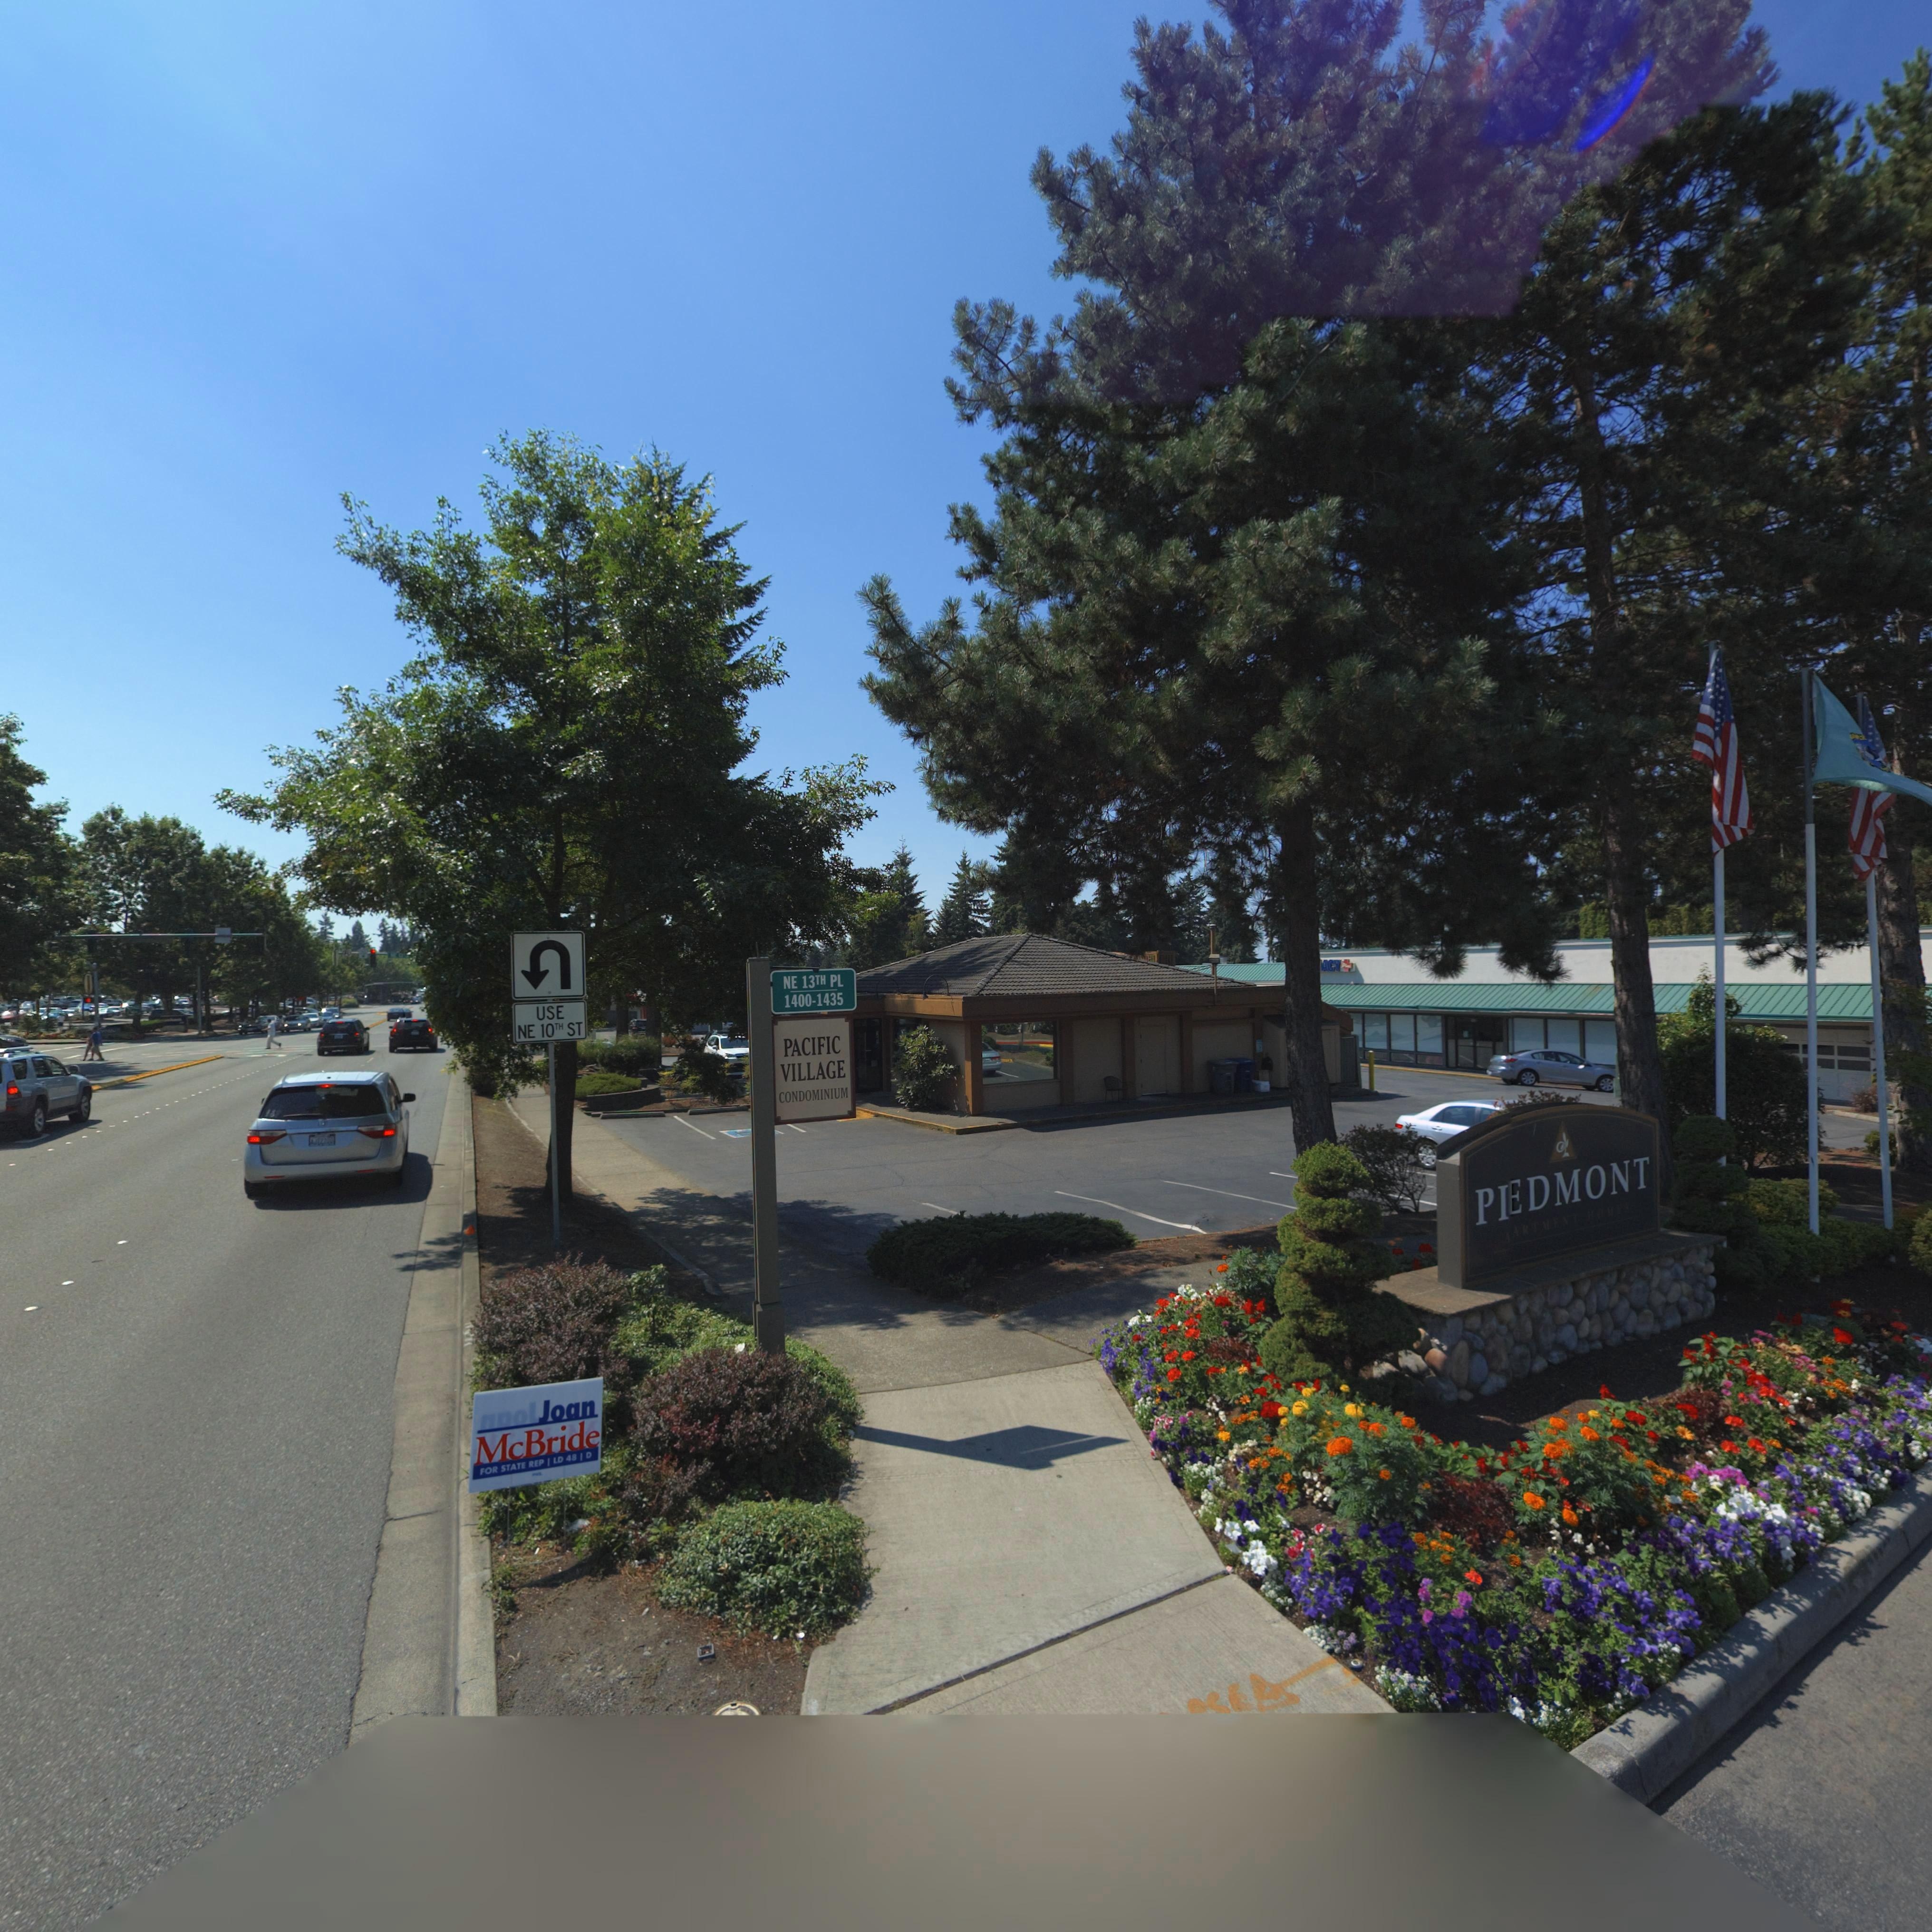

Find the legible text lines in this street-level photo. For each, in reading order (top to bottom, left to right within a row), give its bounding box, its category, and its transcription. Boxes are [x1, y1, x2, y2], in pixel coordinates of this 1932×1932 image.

[1321, 959, 1341, 972] BusinessName: ACY
[782, 974, 844, 990] StreetName: NE 13th PL
[784, 992, 843, 1008] PhoneNumber: 1400-1435
[517, 1021, 584, 1039] StreetName: NE 10th ST